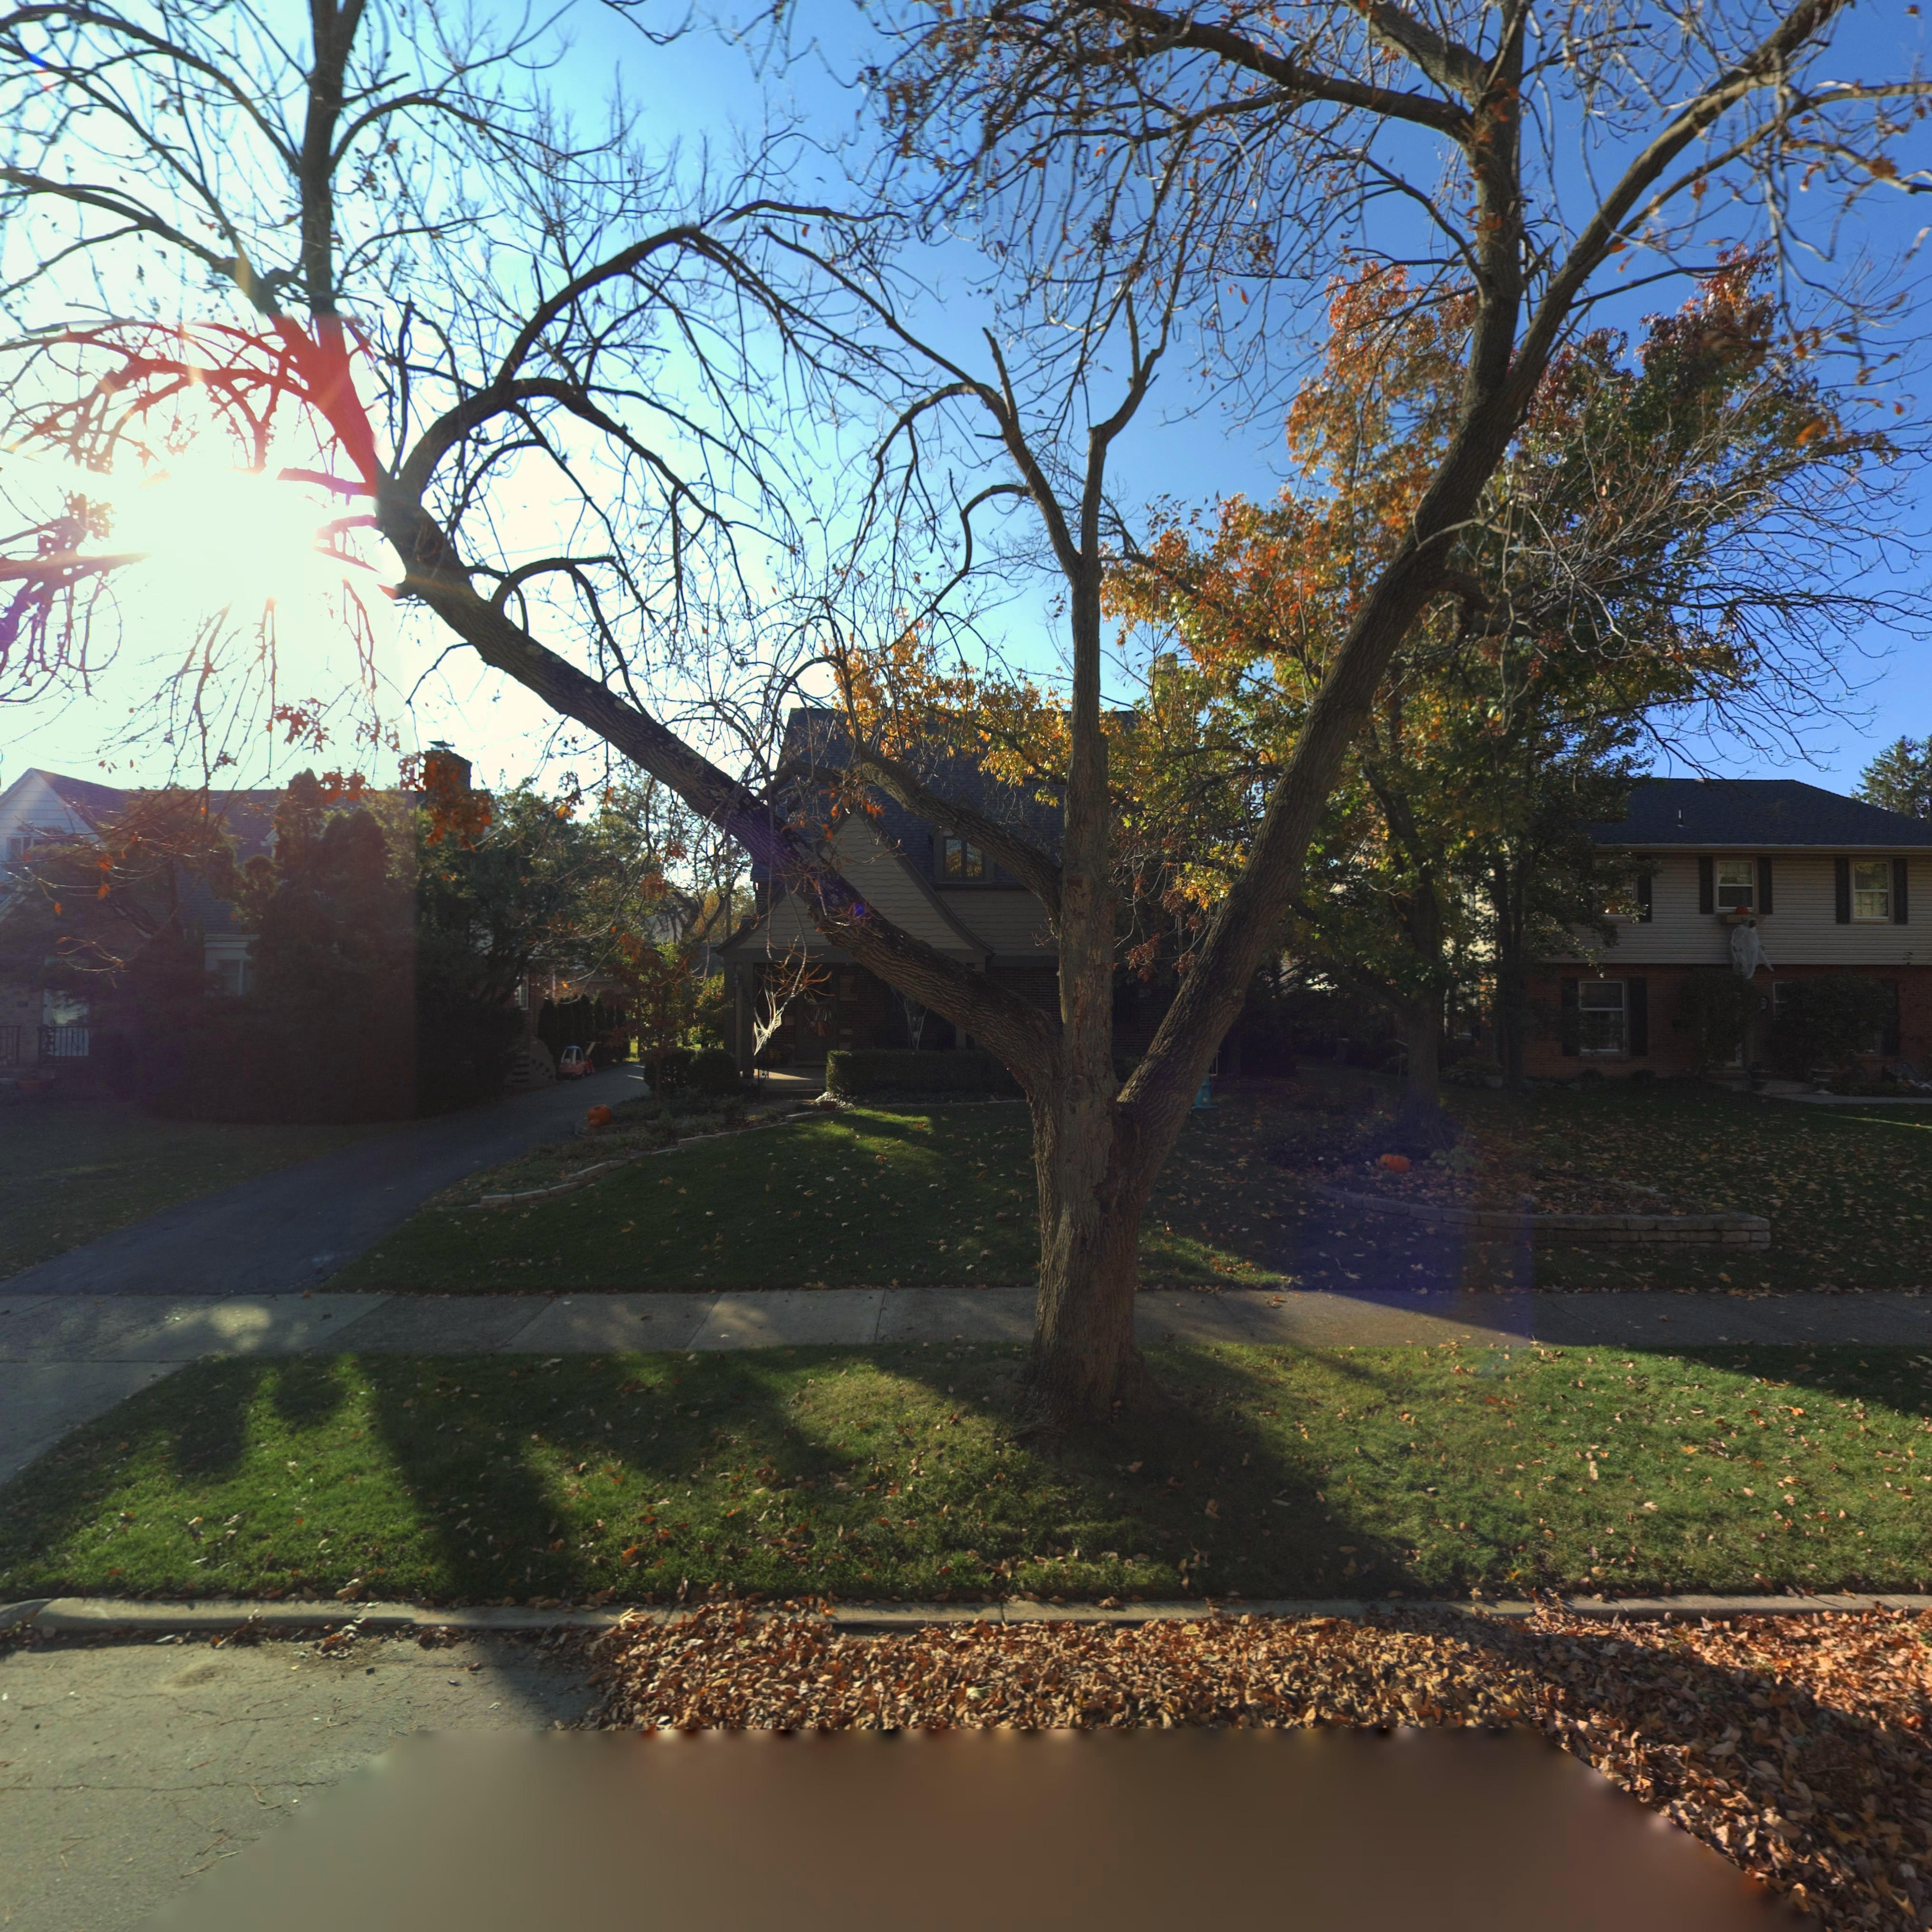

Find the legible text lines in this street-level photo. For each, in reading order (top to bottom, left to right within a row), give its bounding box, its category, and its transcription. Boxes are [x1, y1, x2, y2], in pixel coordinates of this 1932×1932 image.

[743, 987, 753, 1011] StreetNumber: 537